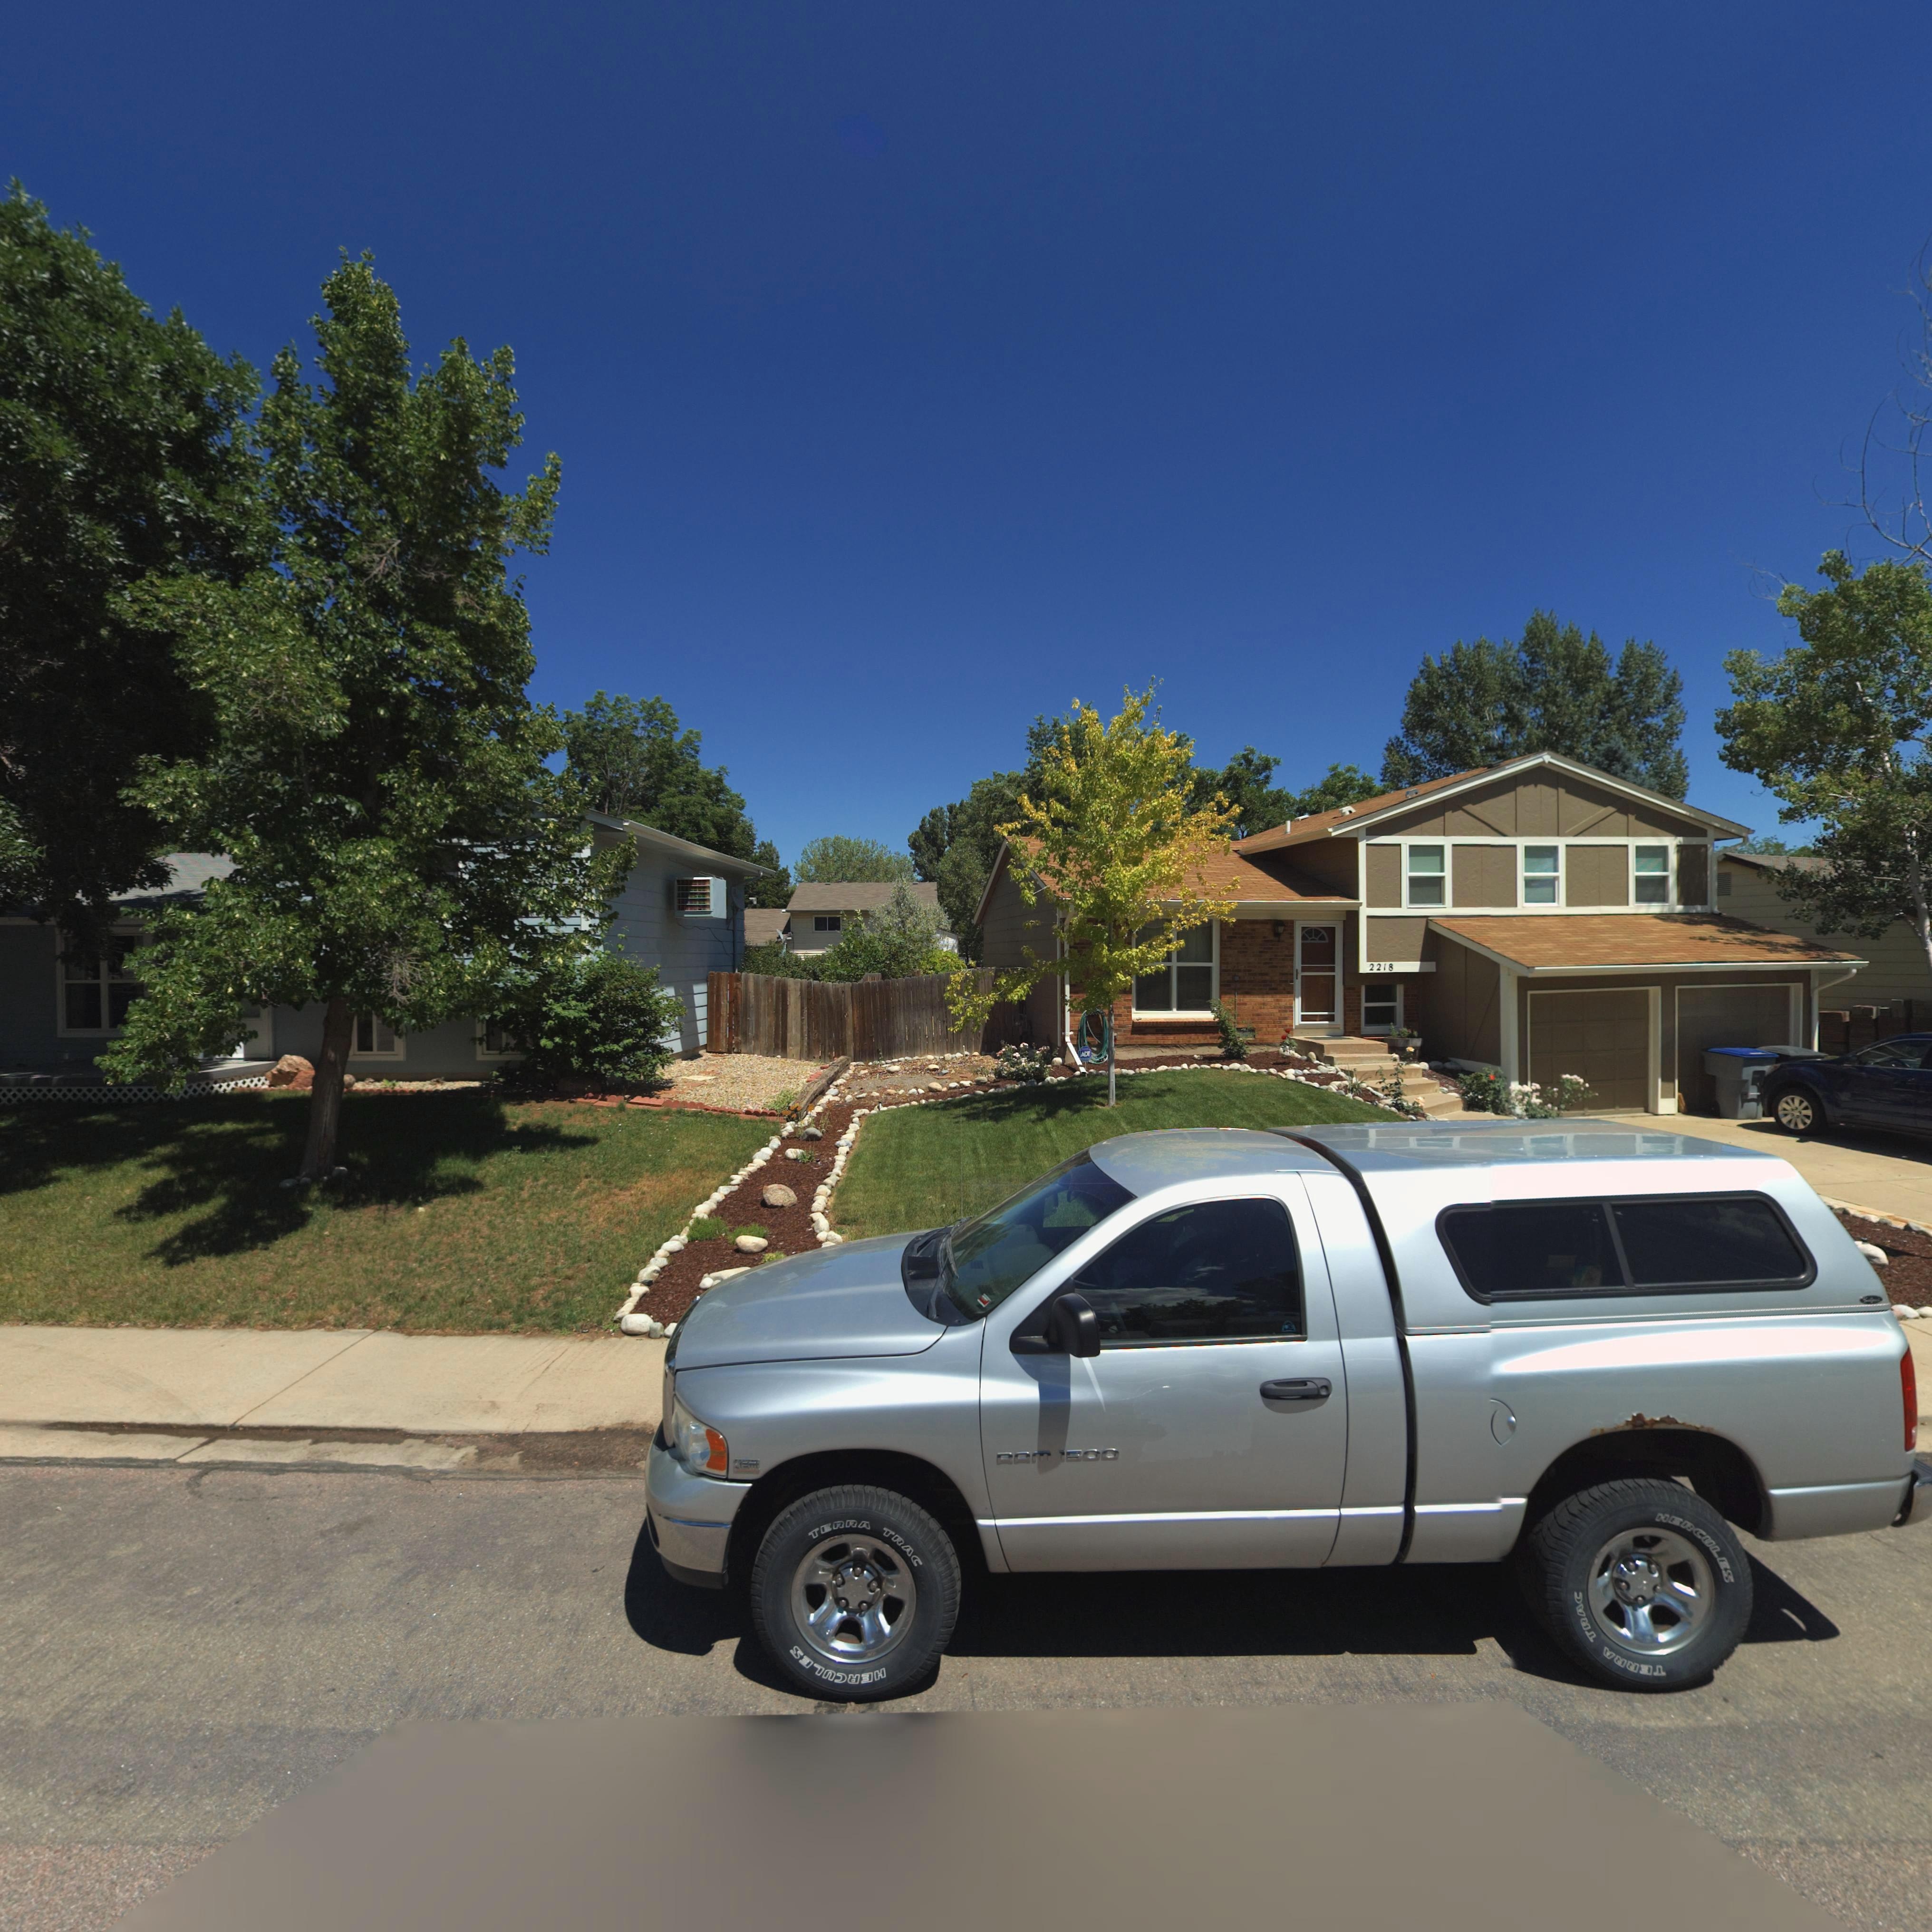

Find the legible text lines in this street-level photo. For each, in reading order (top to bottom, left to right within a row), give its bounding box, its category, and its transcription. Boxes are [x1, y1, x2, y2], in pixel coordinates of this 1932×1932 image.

[1368, 963, 1394, 971] StreetNumber: 2218